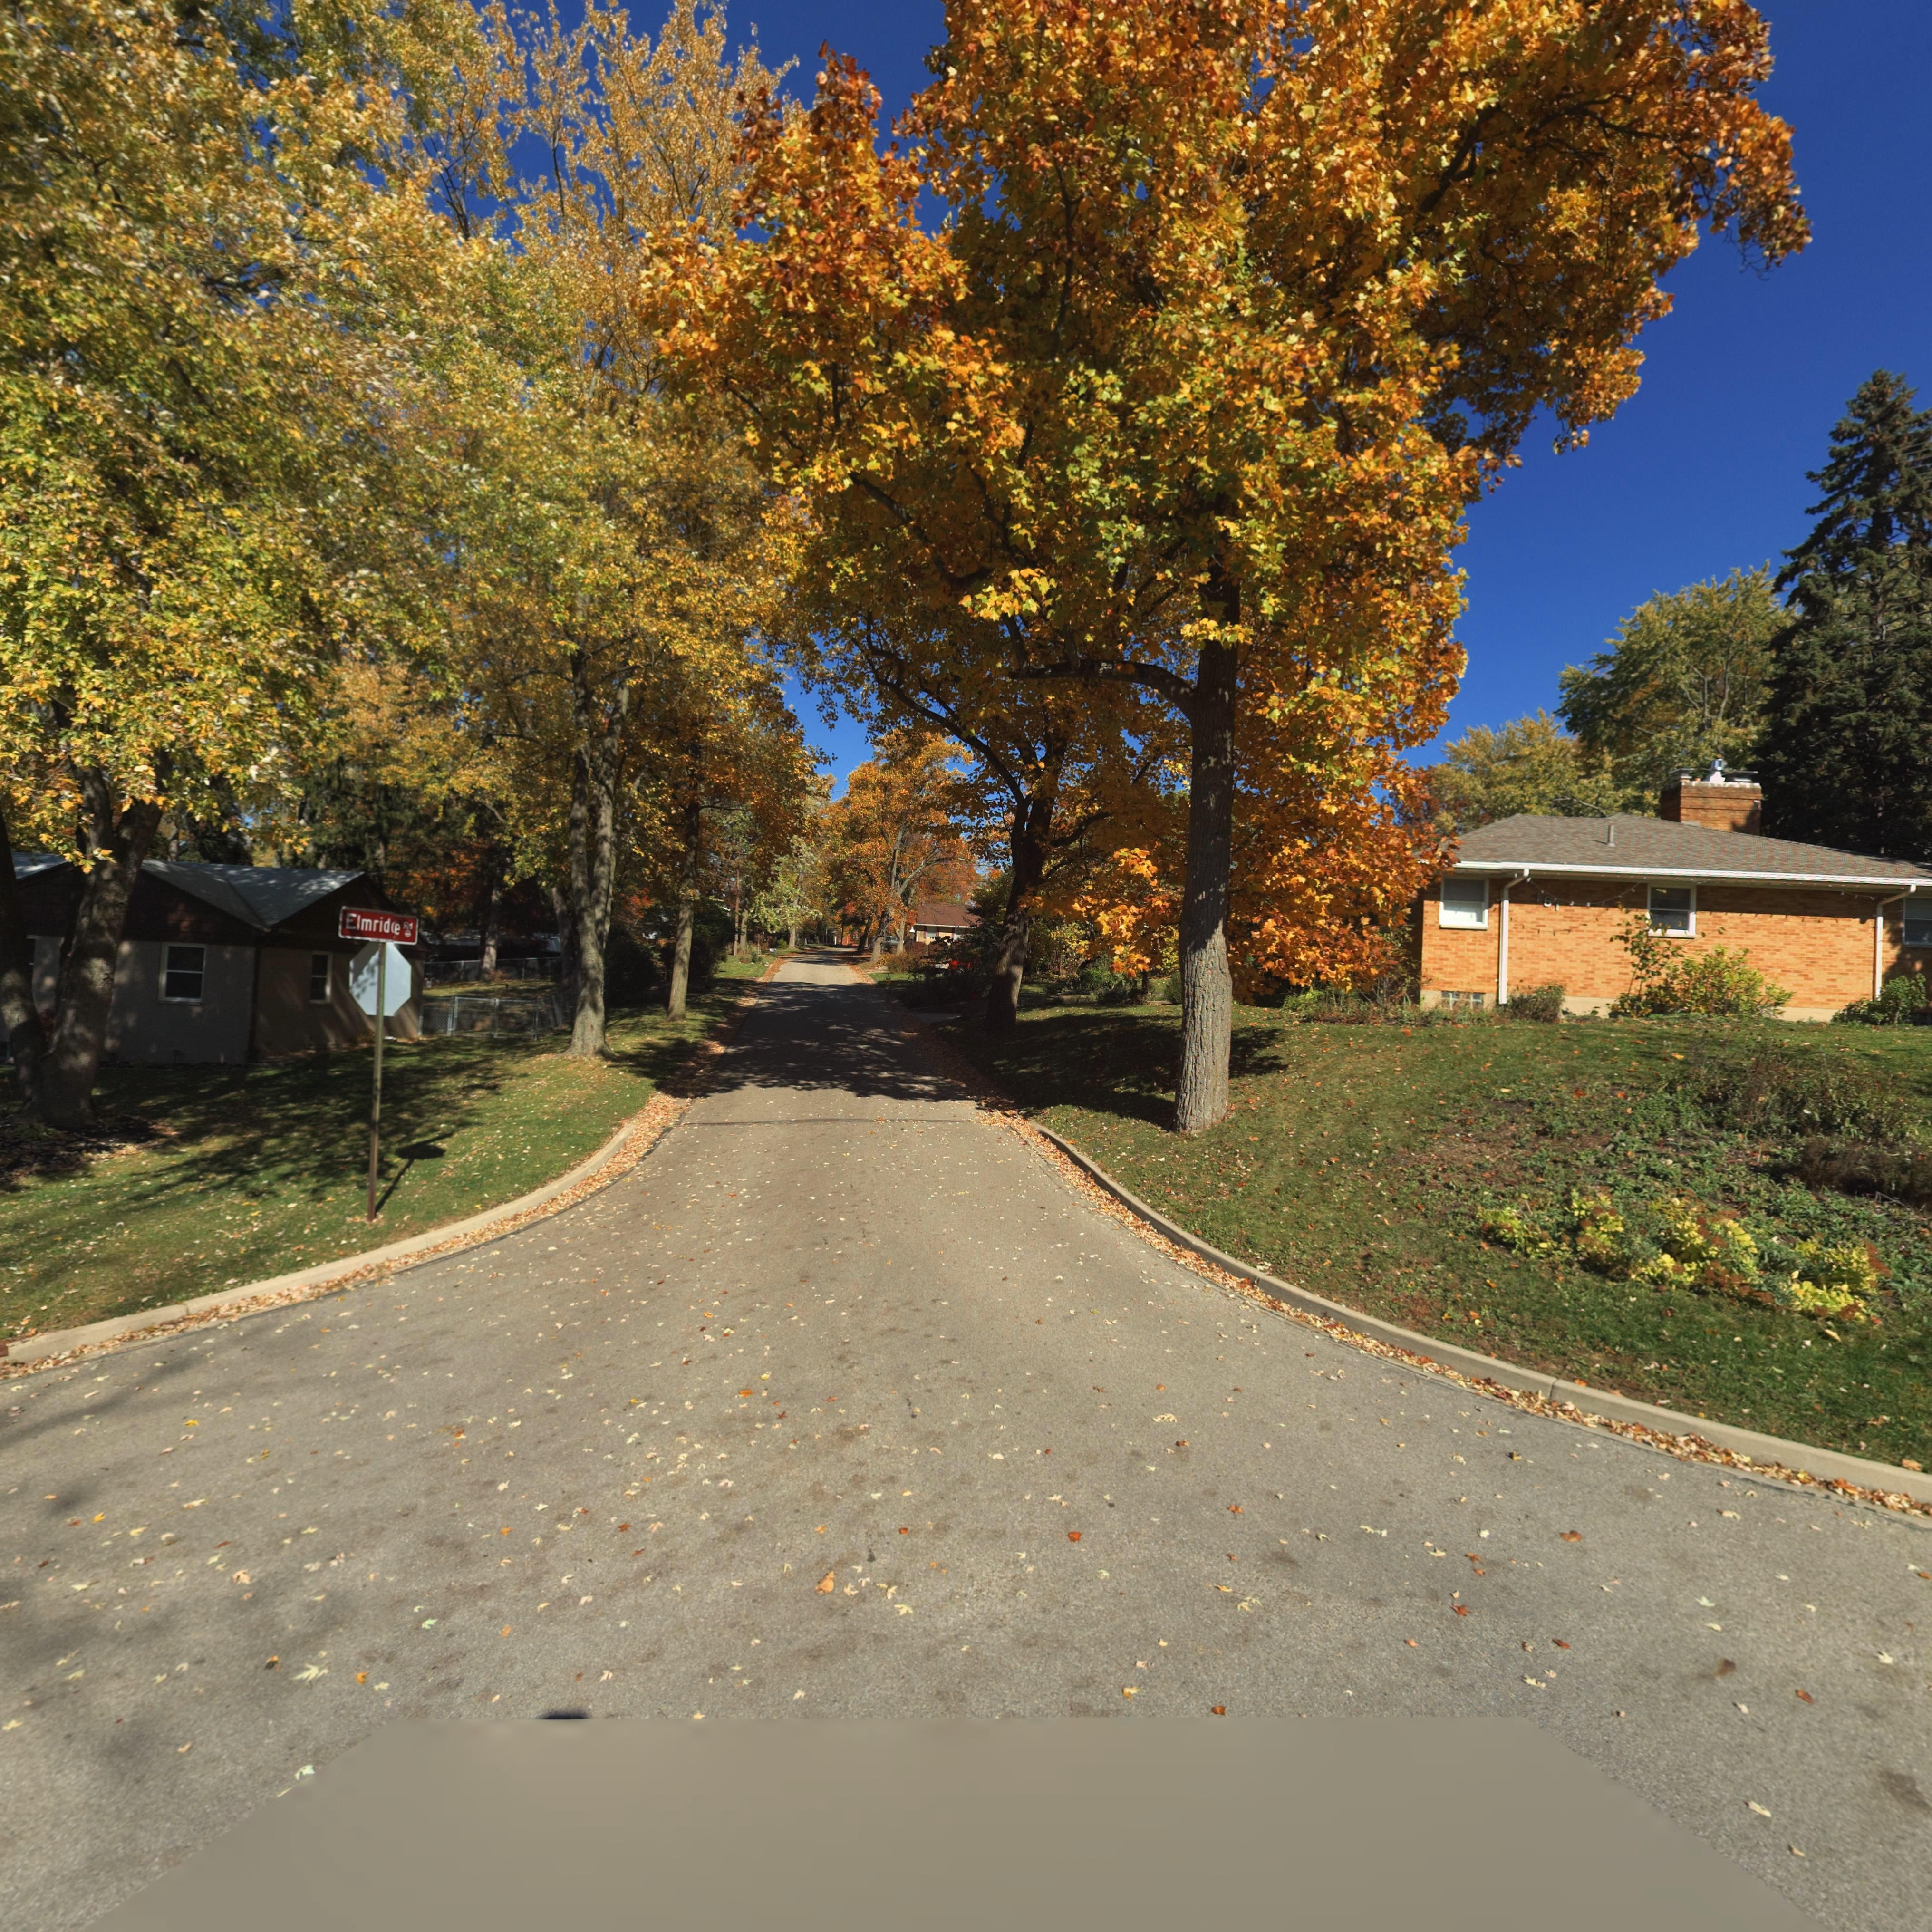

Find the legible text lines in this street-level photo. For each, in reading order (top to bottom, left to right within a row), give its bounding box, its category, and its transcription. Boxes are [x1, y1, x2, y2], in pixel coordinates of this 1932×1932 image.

[1535, 890, 1561, 912] StreetNumber: 16*